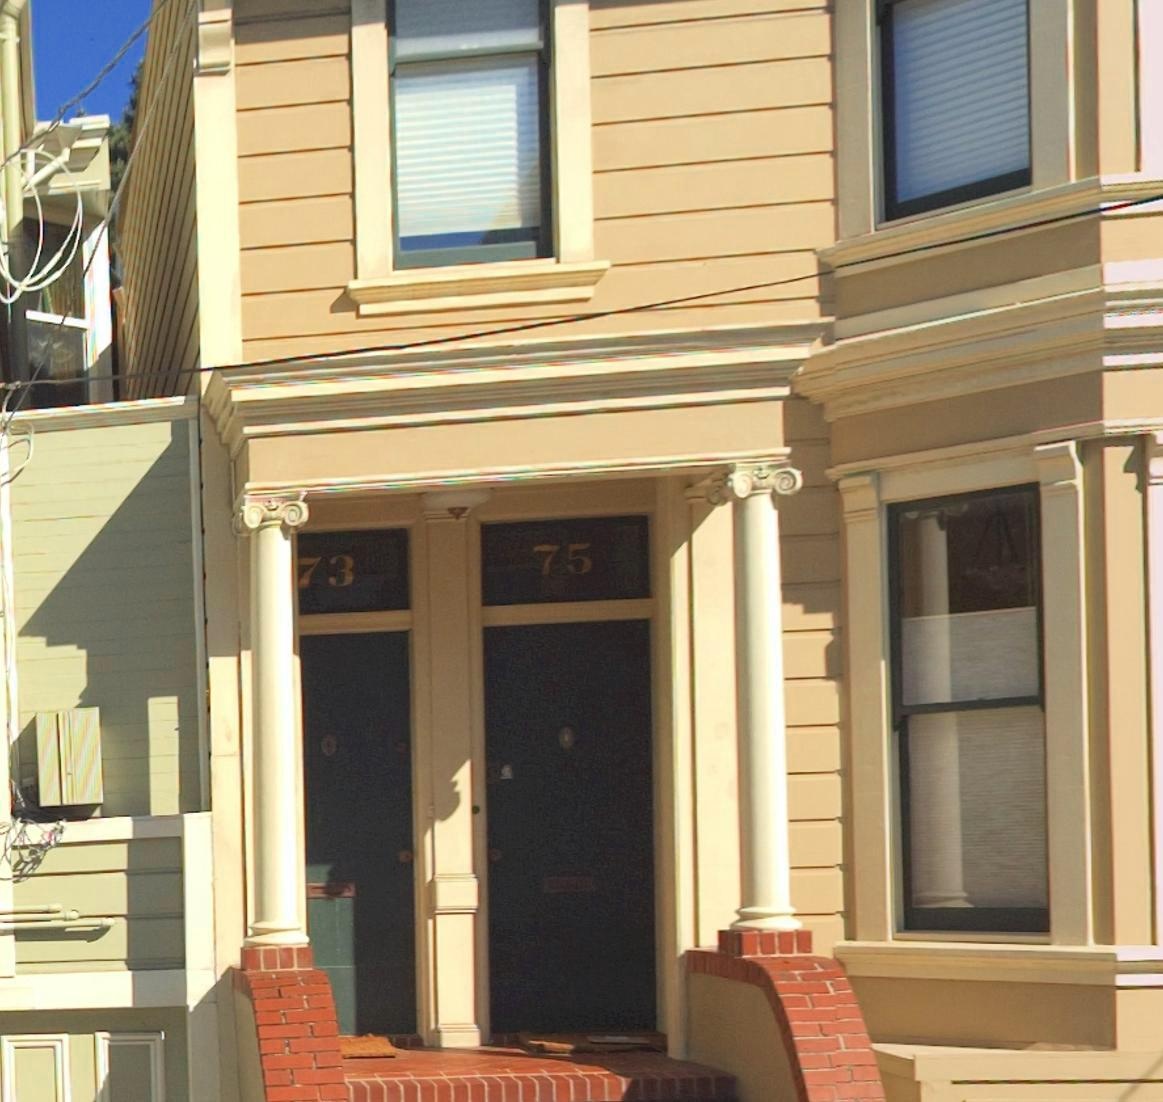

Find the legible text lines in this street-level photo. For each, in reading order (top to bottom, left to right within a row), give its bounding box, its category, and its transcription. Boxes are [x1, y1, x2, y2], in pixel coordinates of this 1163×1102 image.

[297, 554, 357, 589] StreetNumber: *3
[531, 540, 596, 577] StreetNumber: 75